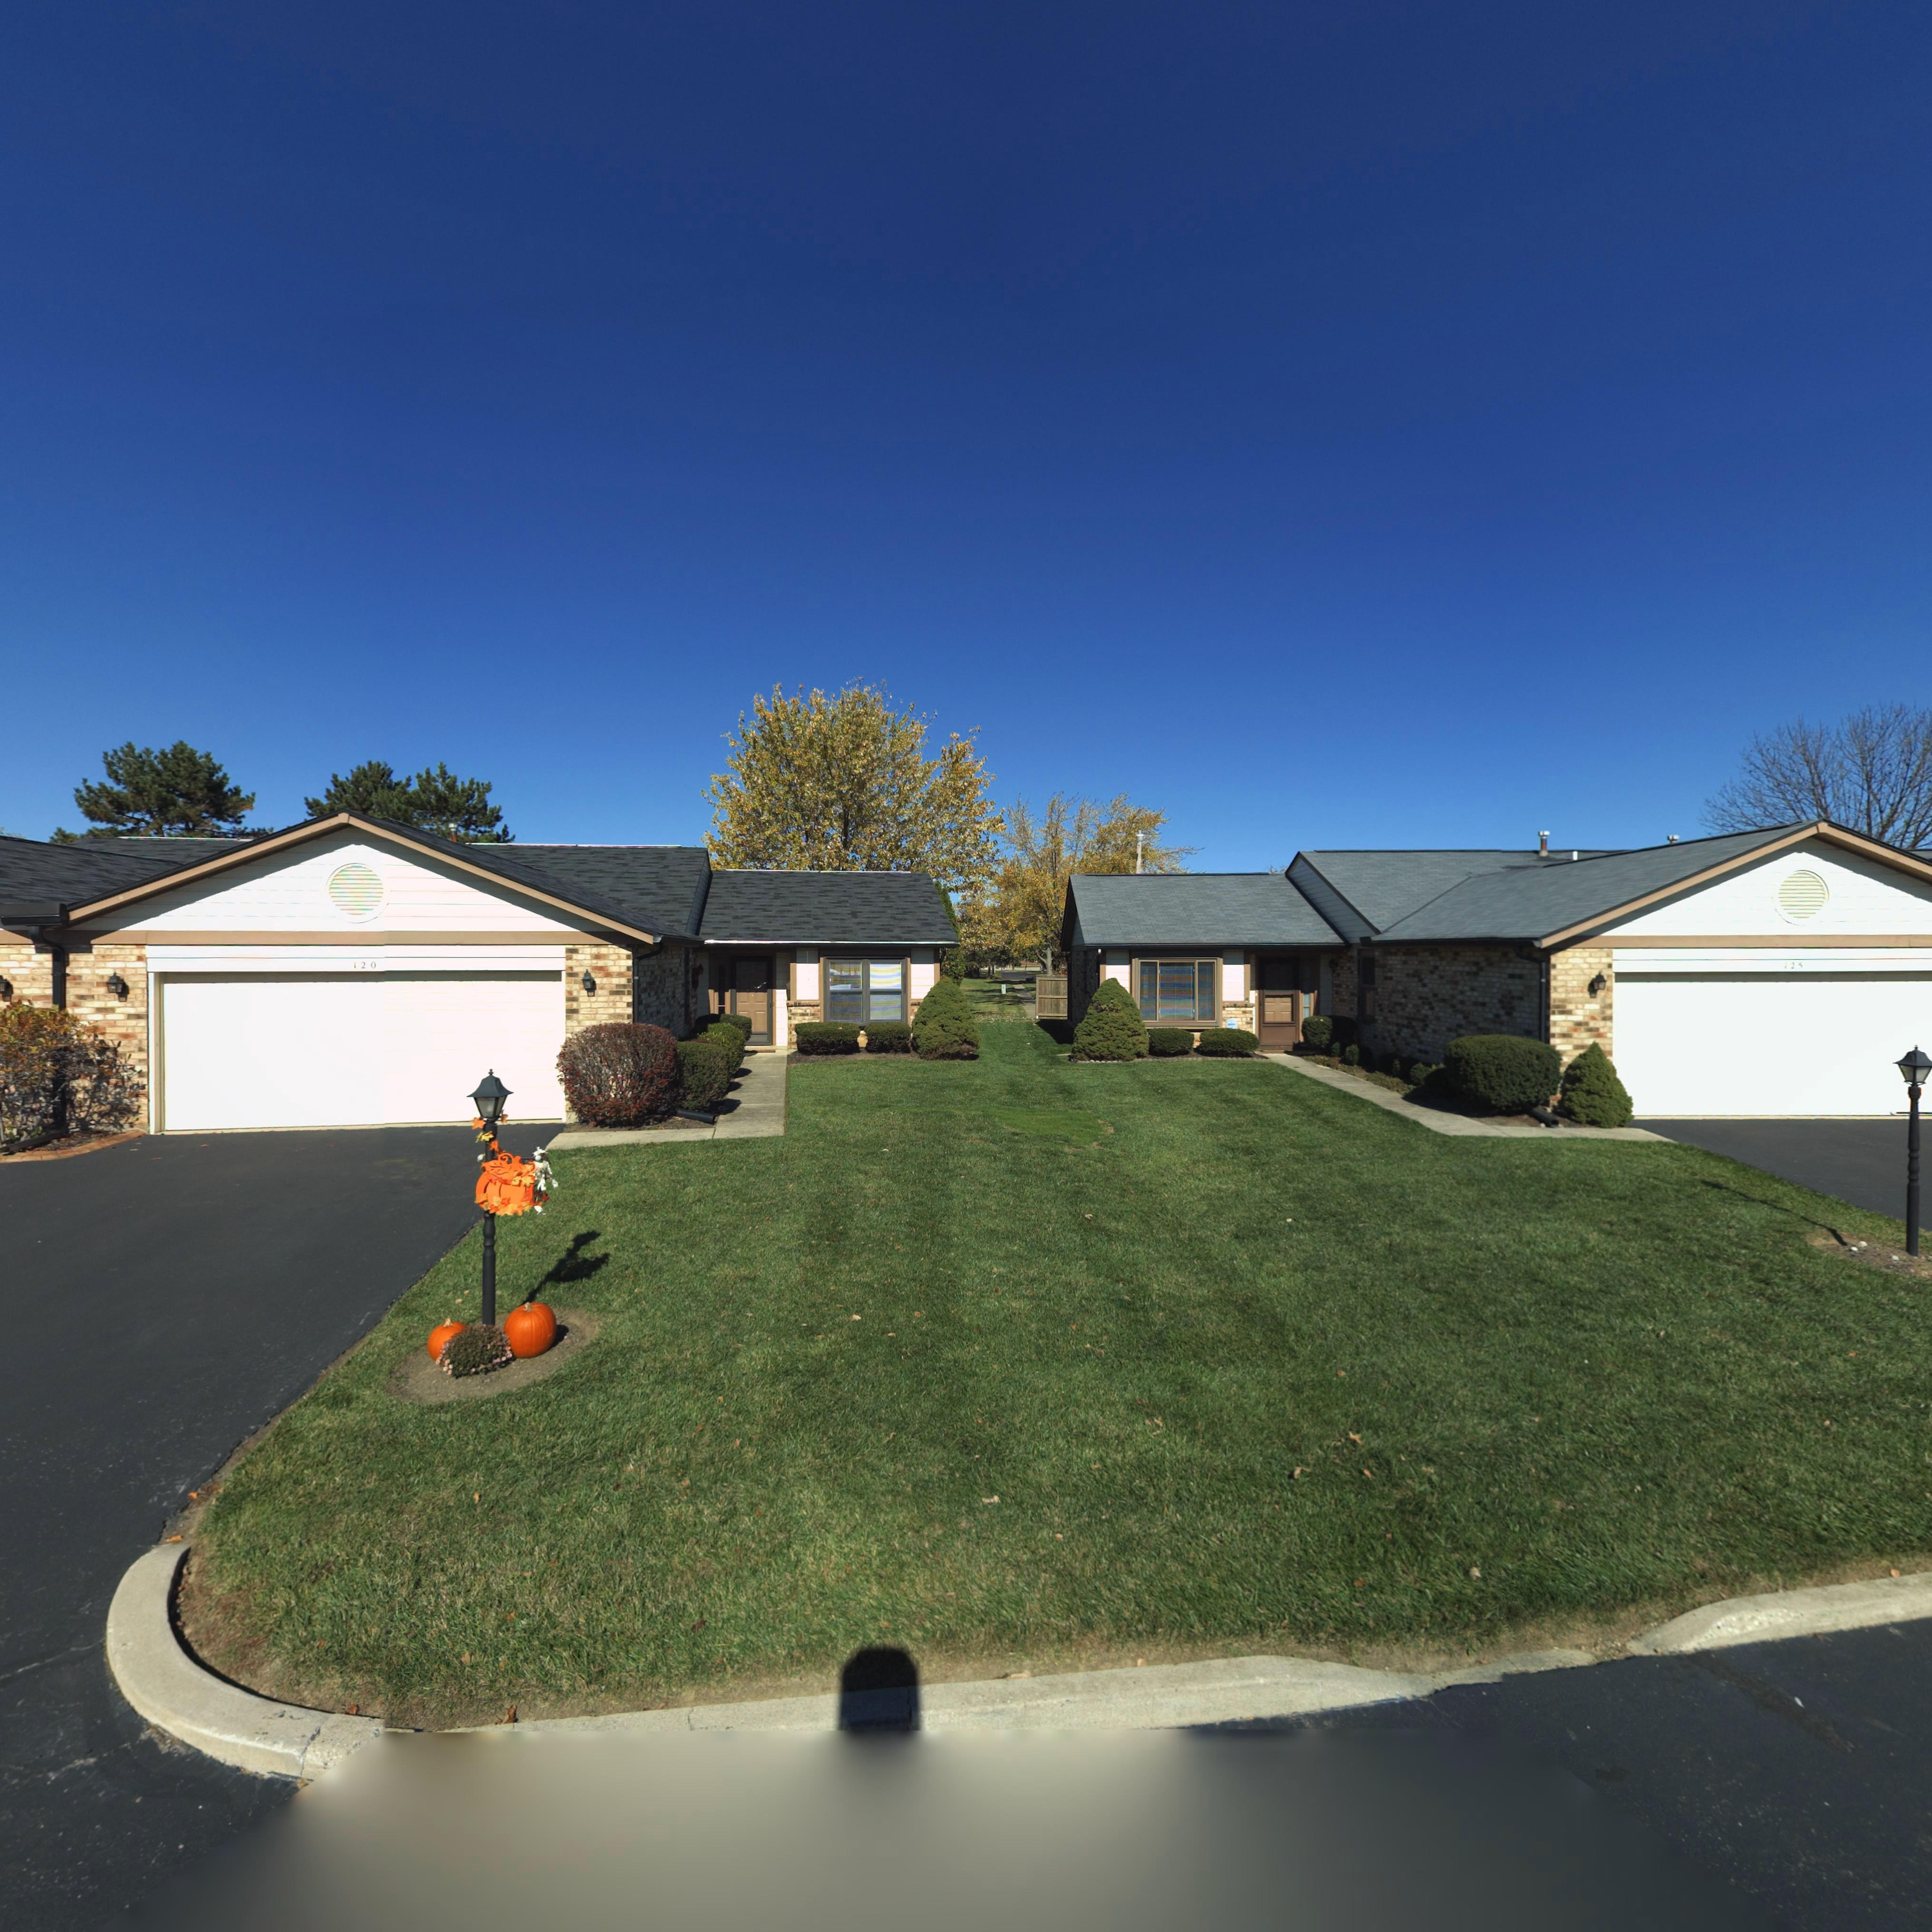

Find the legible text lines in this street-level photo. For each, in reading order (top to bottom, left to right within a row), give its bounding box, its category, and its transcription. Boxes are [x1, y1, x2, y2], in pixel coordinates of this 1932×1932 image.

[353, 961, 377, 969] StreetNumber: 120
[1783, 961, 1804, 970] StreetNumber: 125